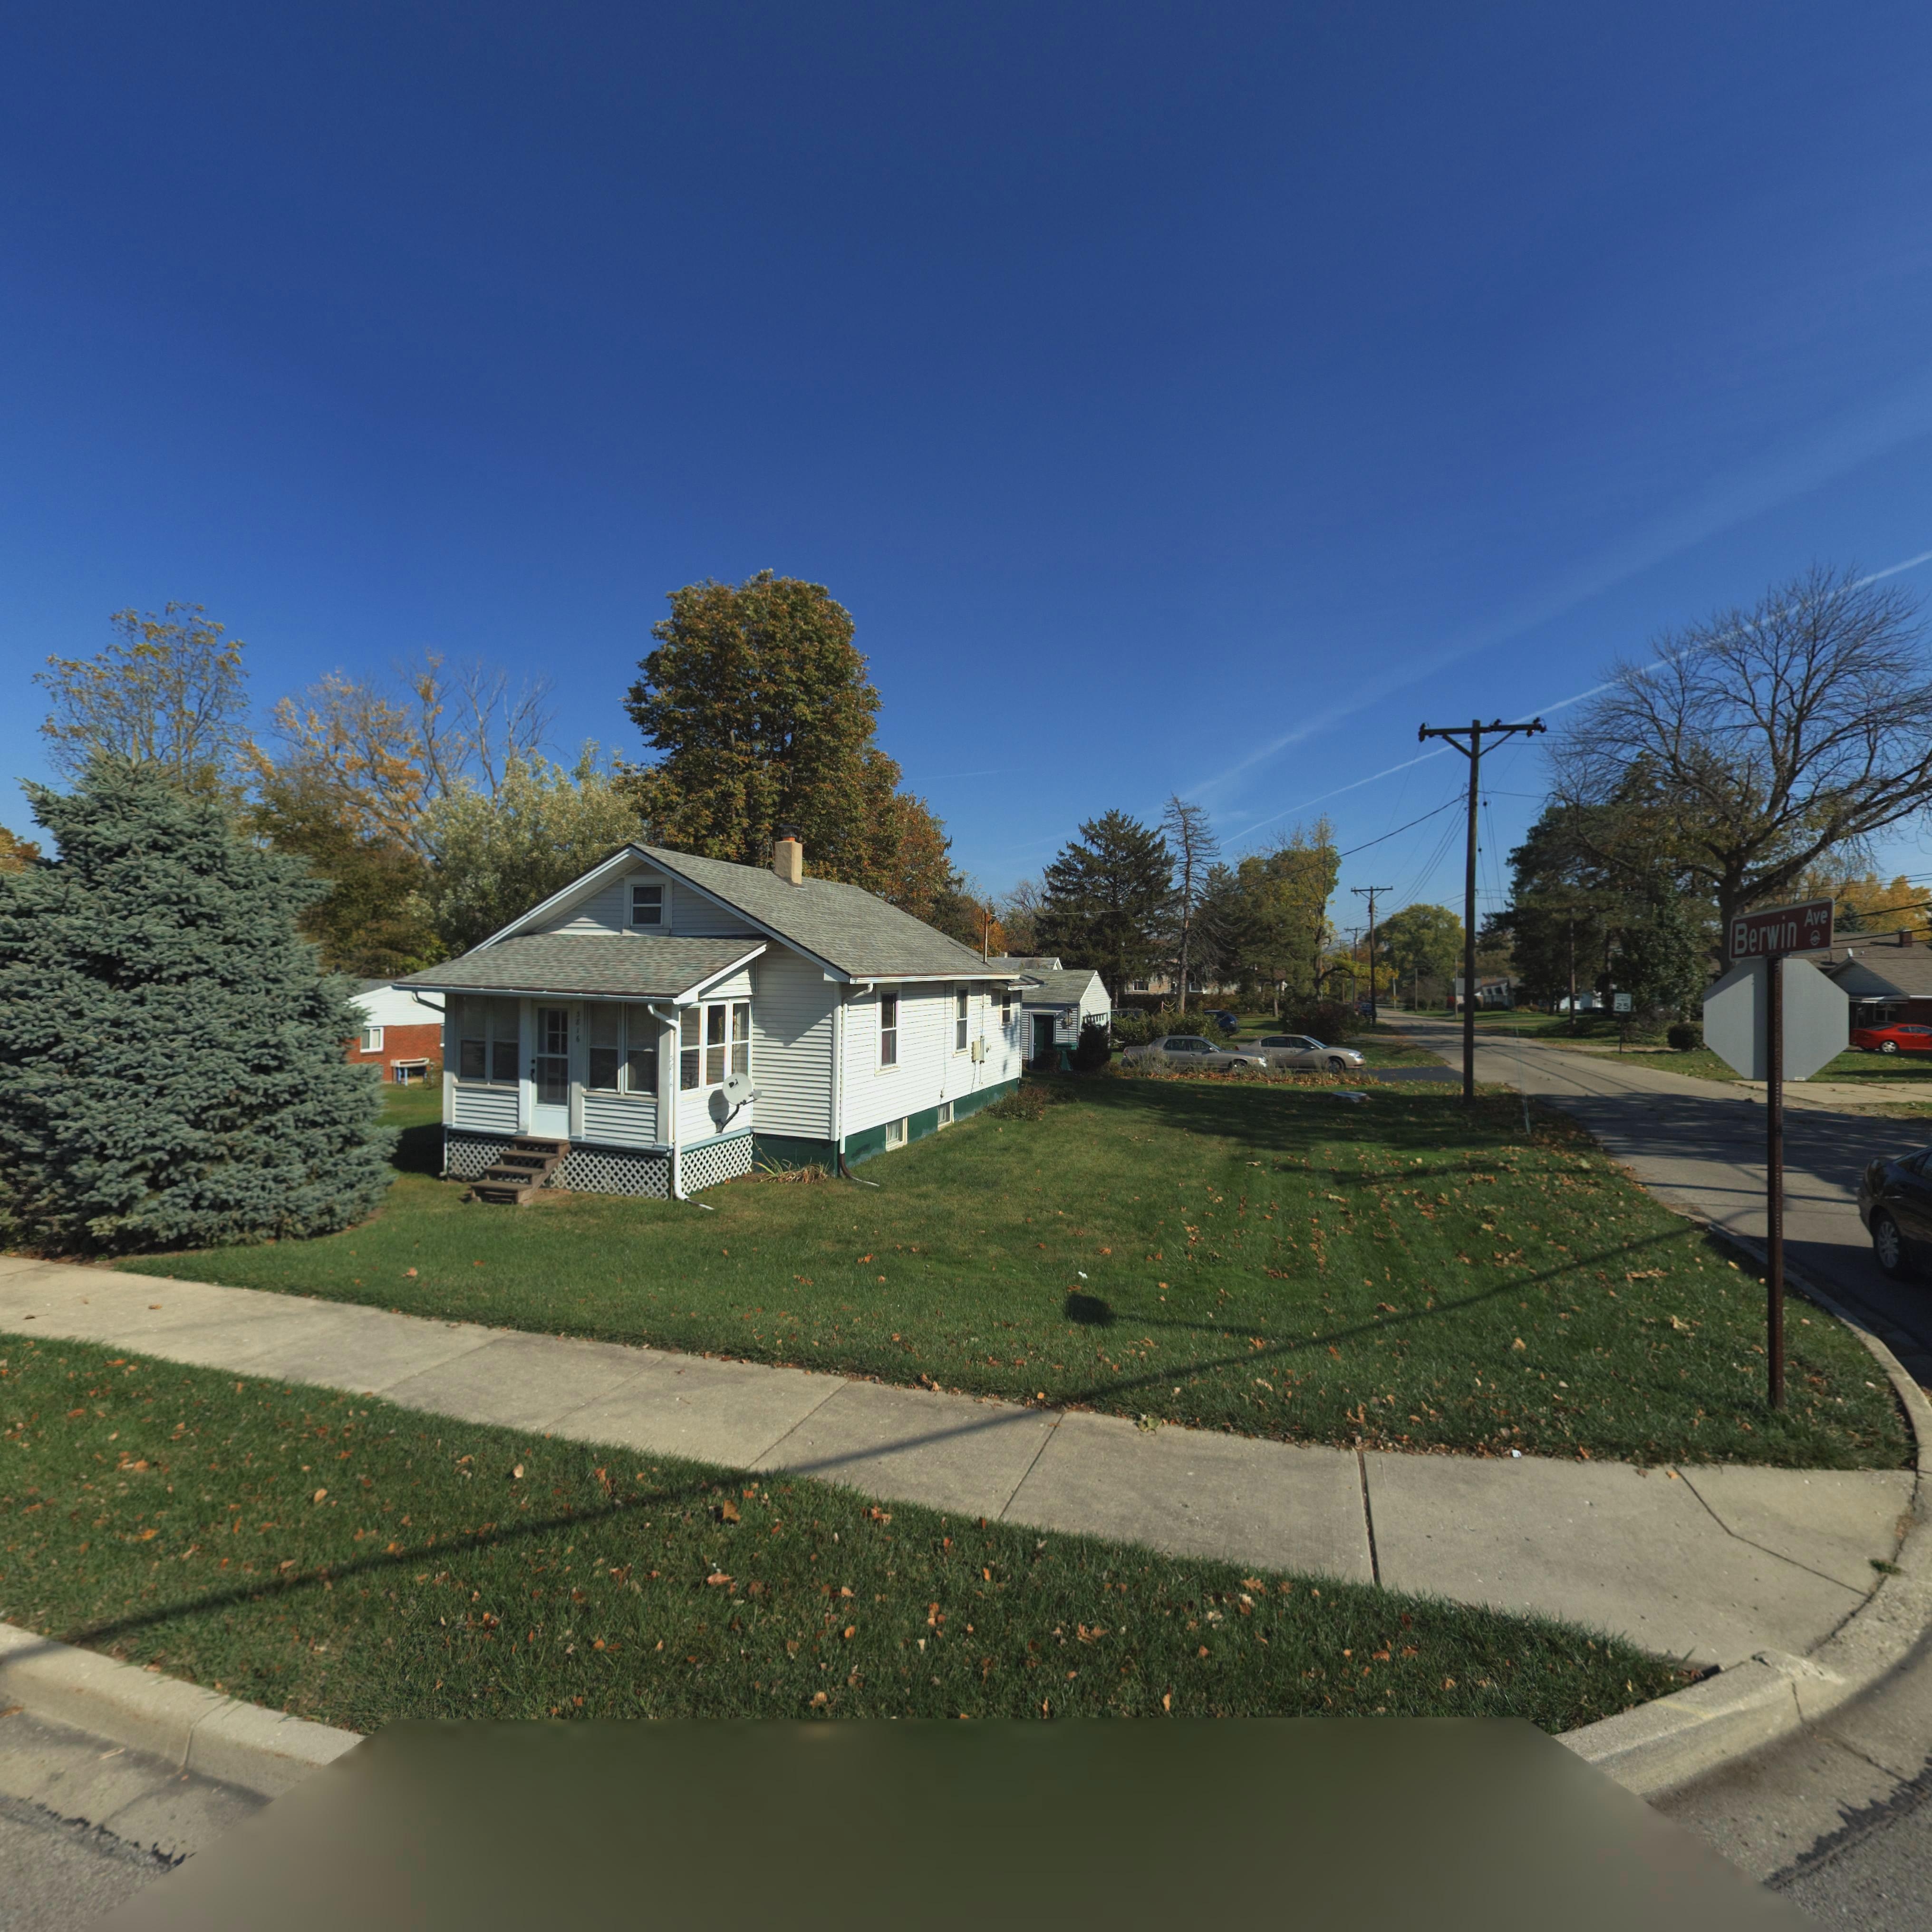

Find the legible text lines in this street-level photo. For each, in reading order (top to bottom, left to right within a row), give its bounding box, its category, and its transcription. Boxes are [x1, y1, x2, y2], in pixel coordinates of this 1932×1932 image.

[1733, 908, 1829, 956] StreetName: Berwin Ave
[1615, 1002, 1630, 1010] None: 25
[1617, 998, 1629, 1001] None: LIMIT
[1616, 994, 1631, 998] None: SPEED
[575, 1010, 580, 1042] StreetNumber: 5816
[668, 1054, 673, 1088] StreetNumber: 3816